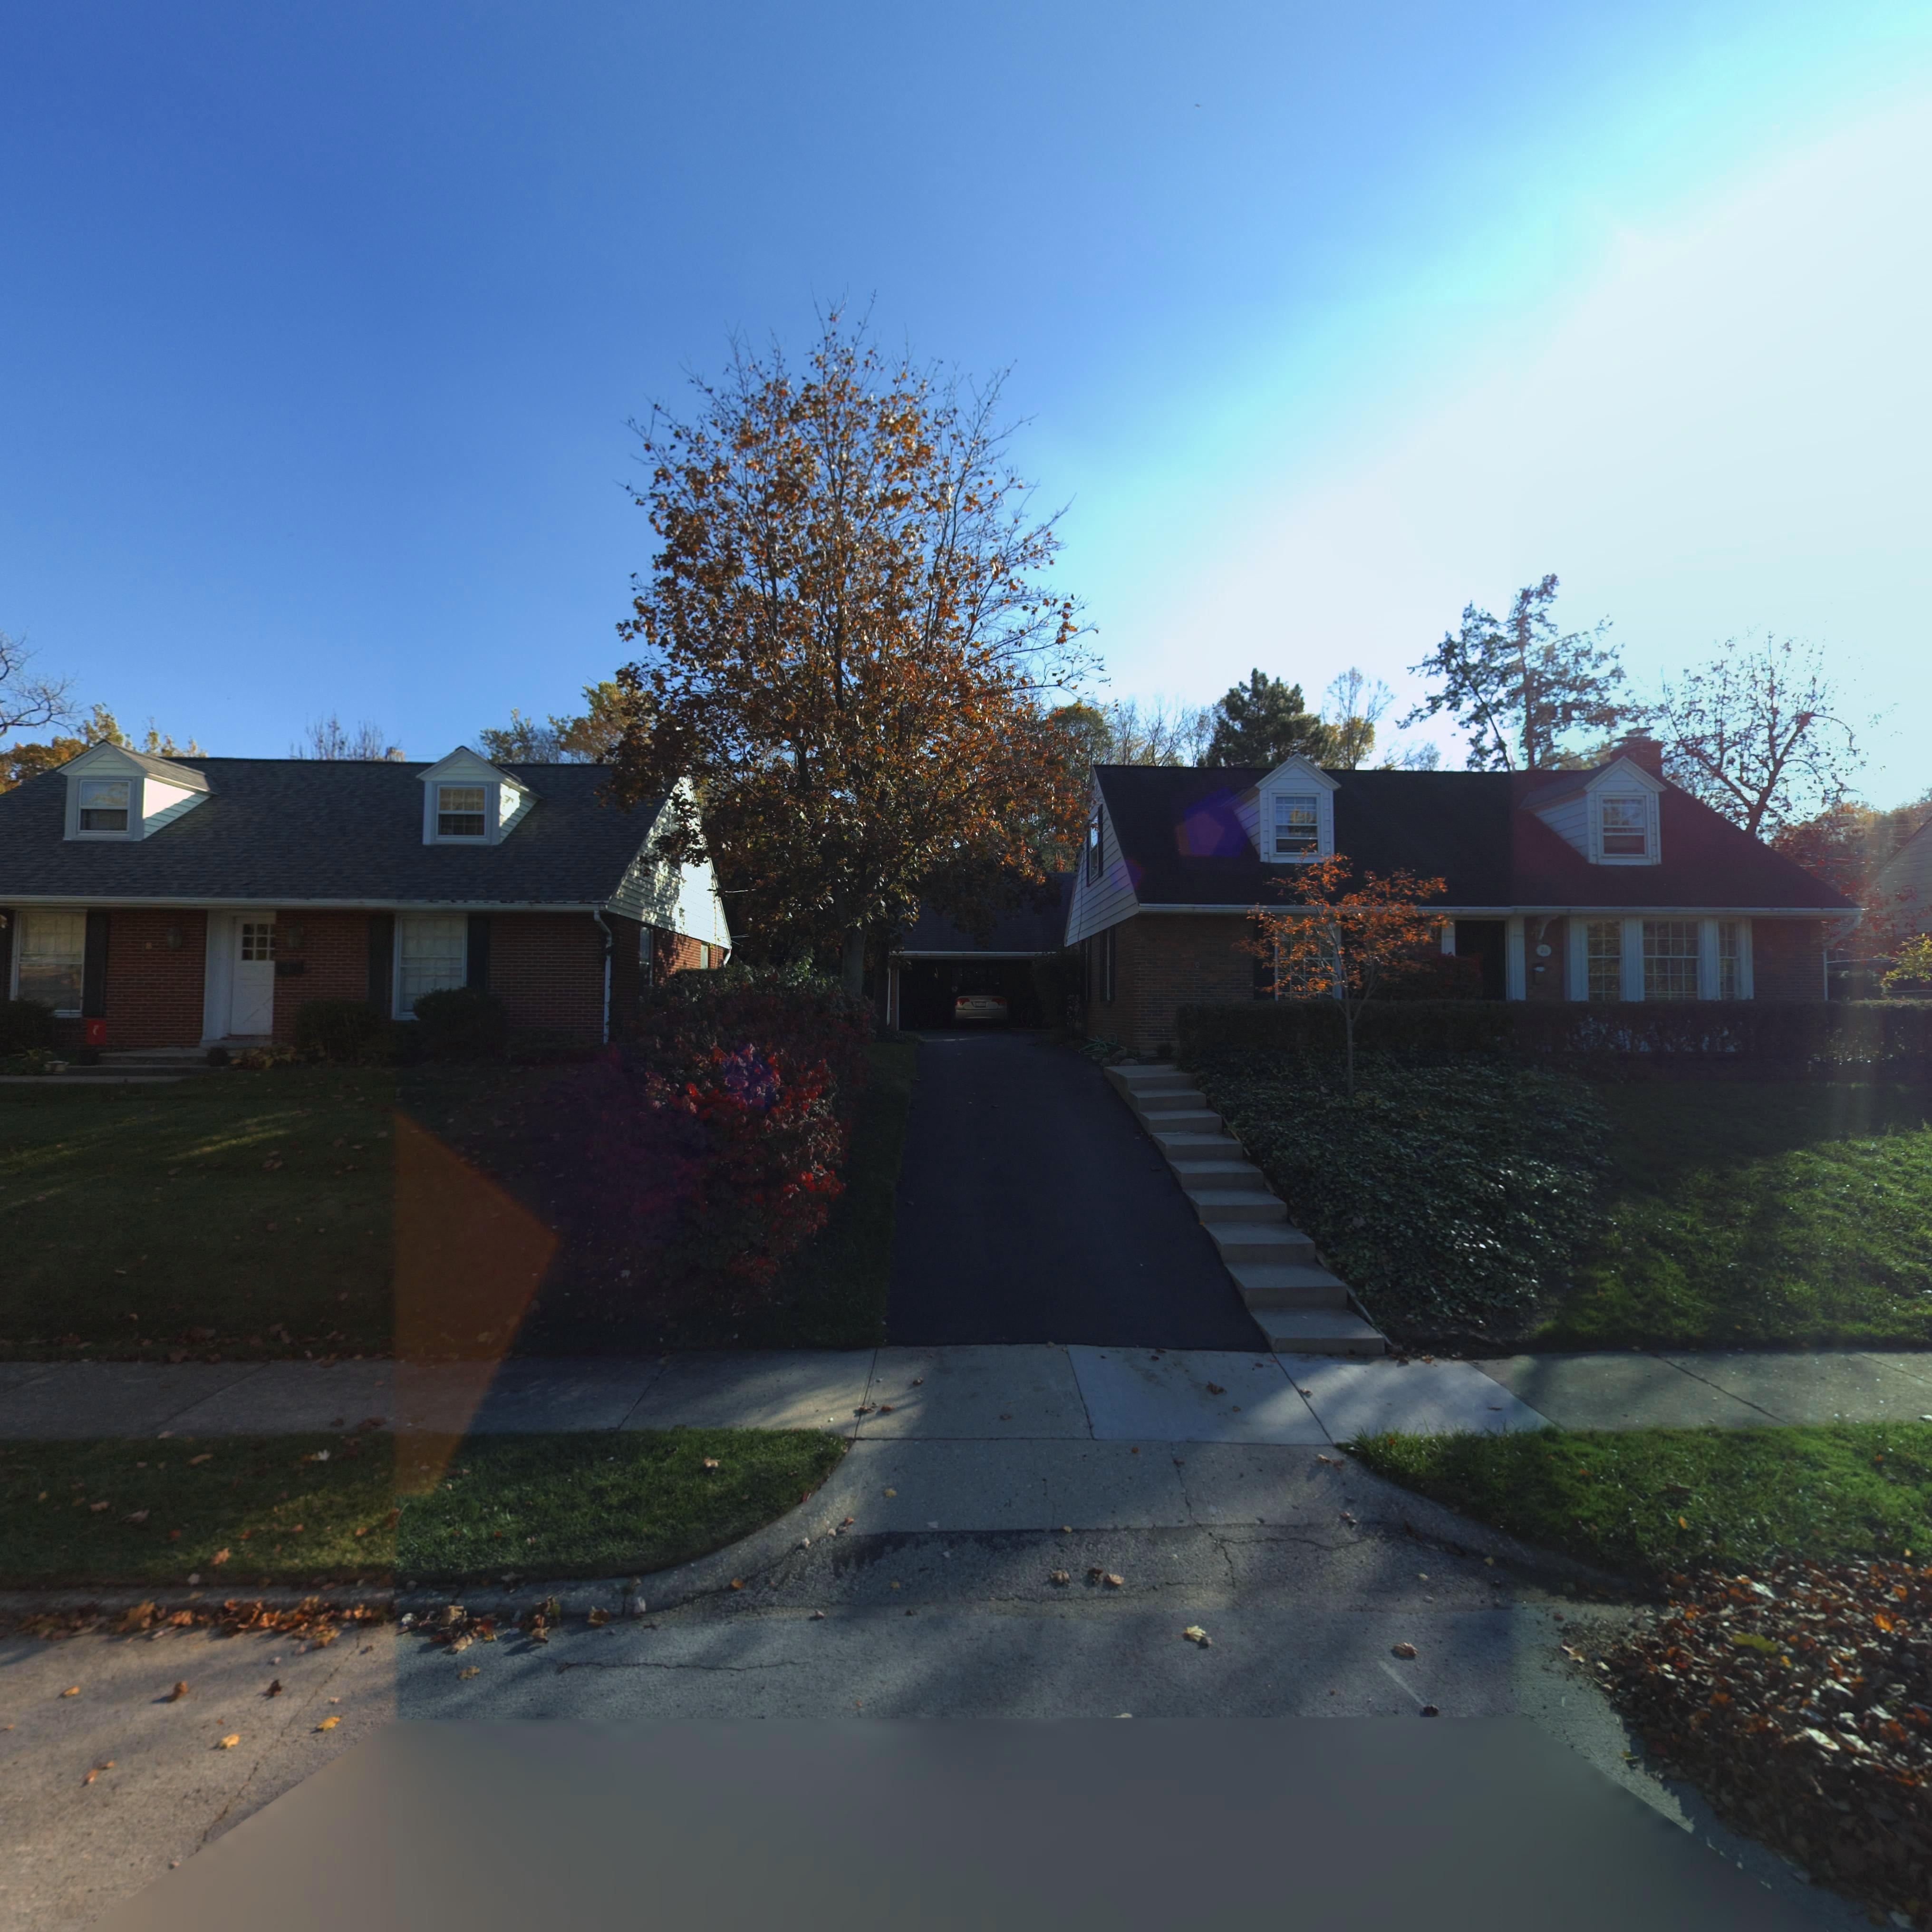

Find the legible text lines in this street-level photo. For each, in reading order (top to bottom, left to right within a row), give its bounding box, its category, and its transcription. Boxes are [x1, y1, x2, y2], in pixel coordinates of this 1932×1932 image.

[145, 941, 153, 950] StreetNumber: 8
[1540, 947, 1549, 954] StreetNumber: 26